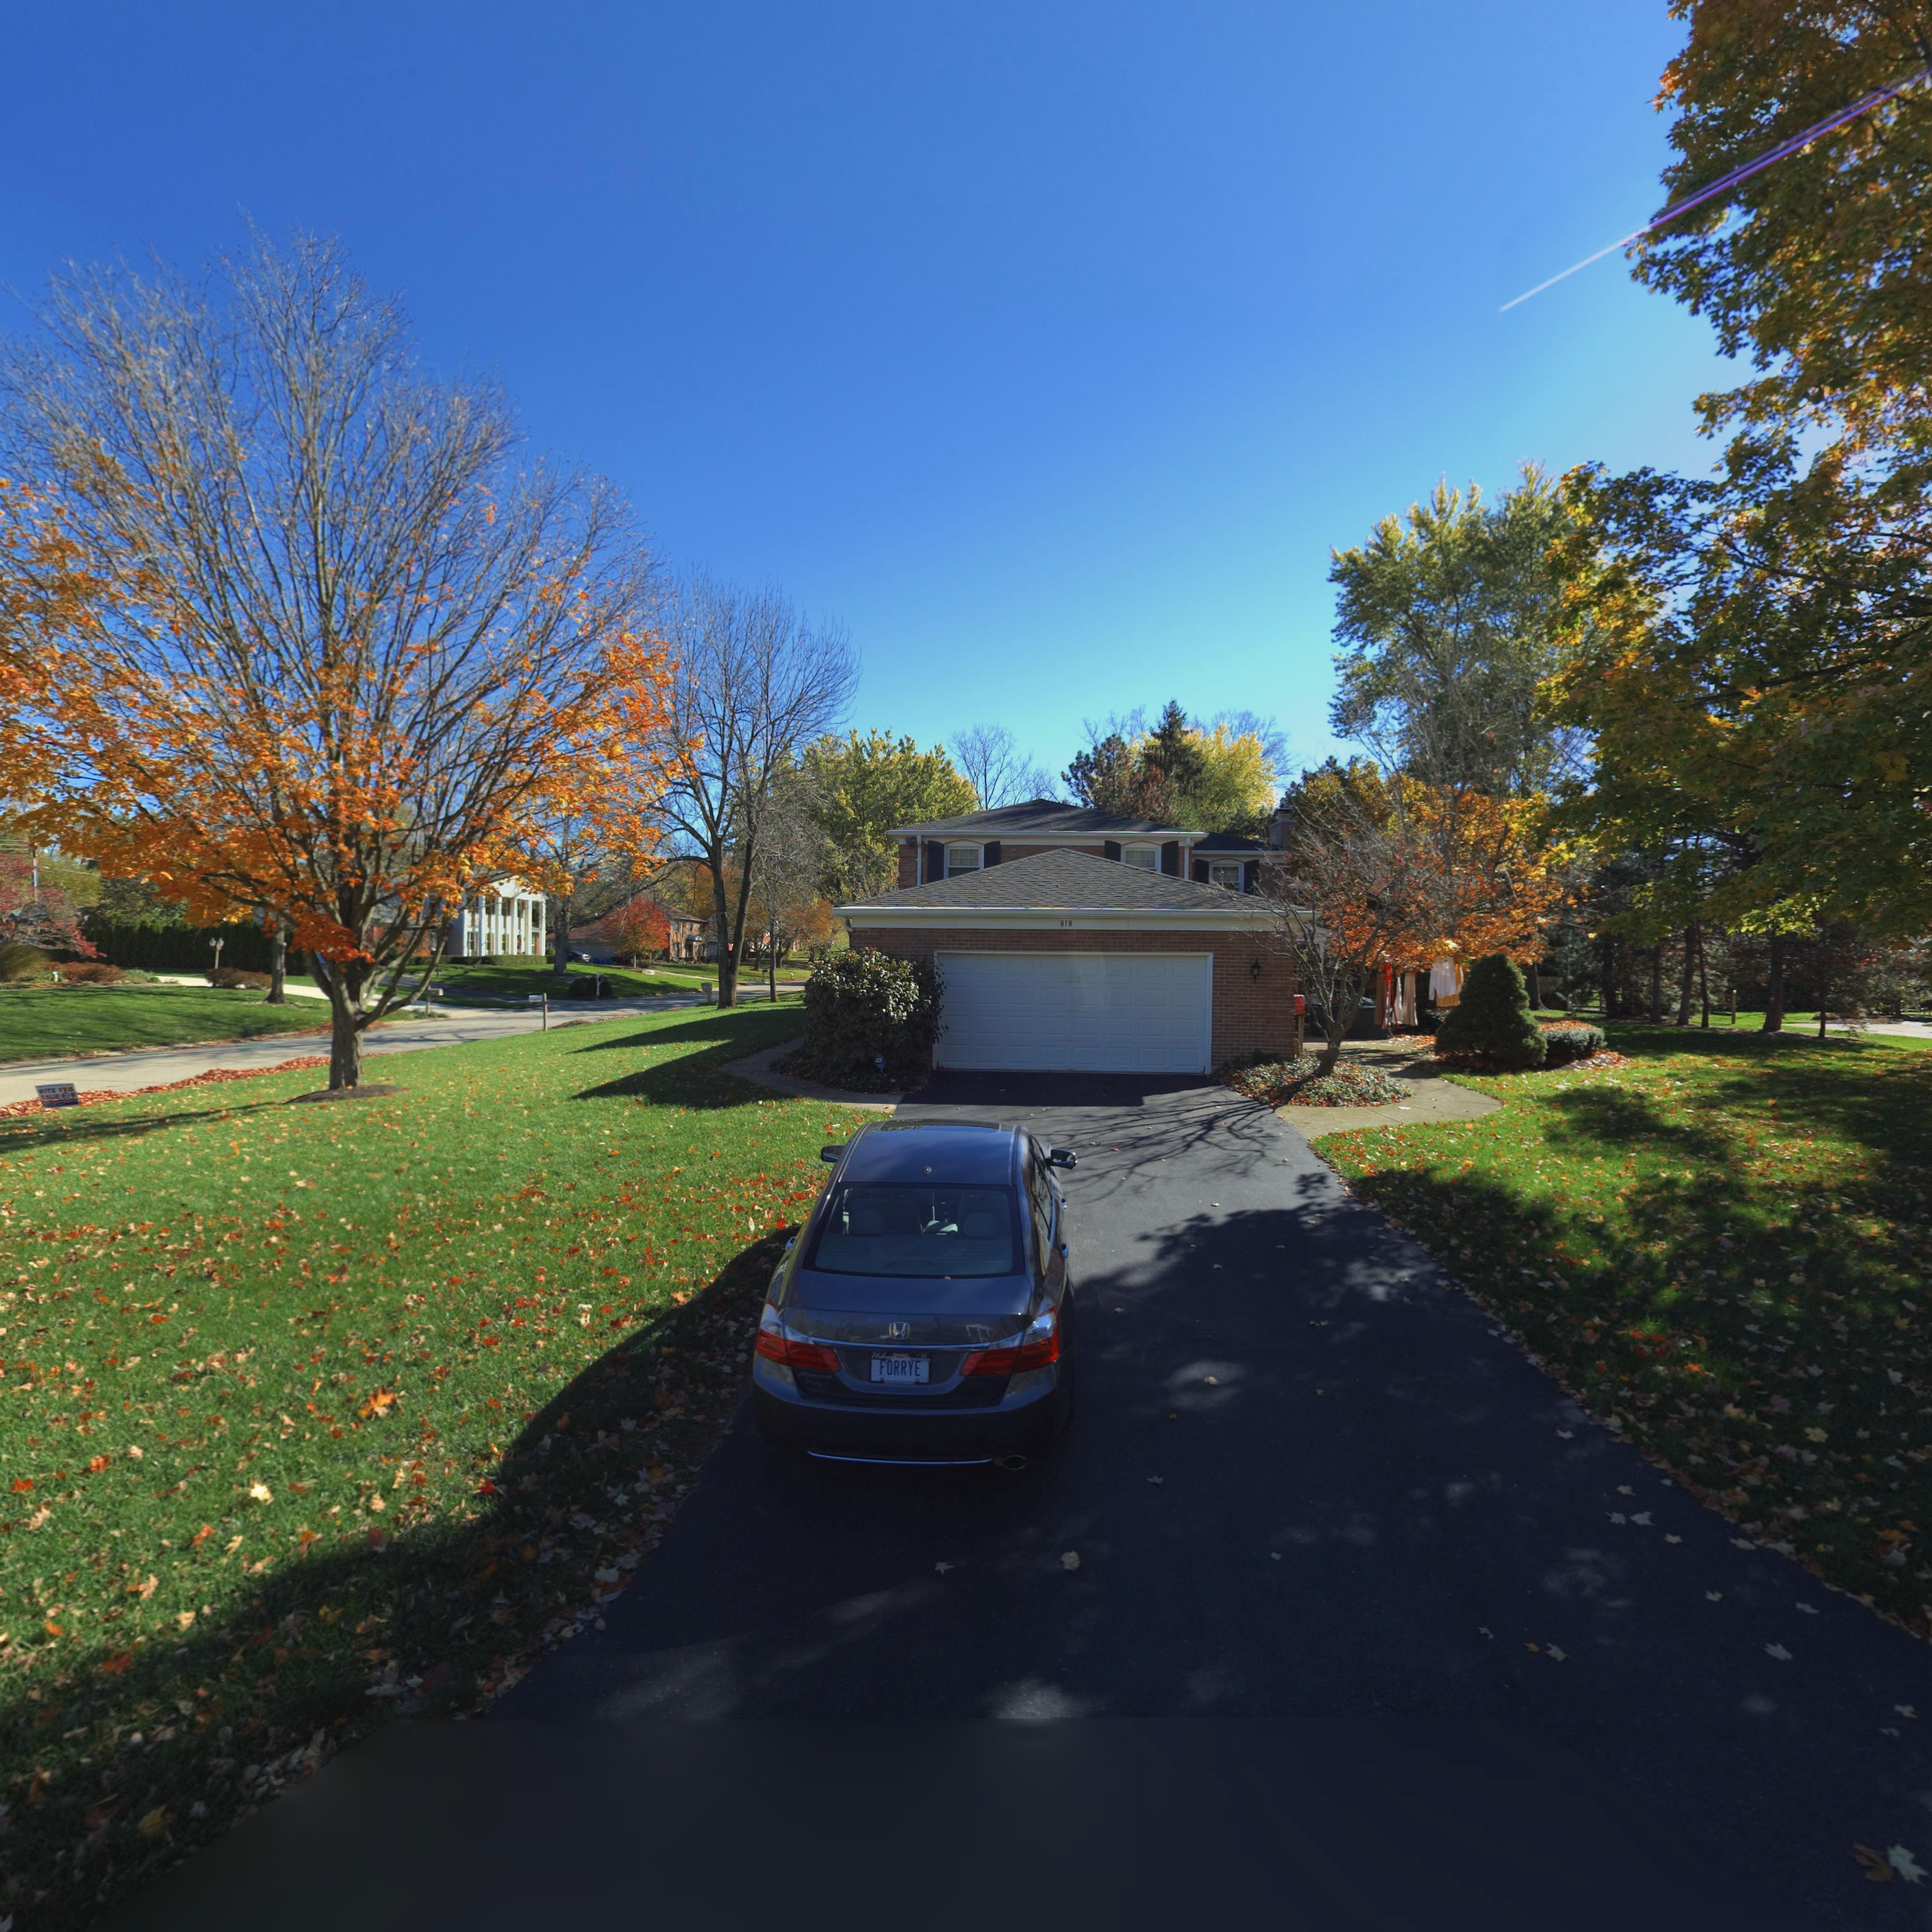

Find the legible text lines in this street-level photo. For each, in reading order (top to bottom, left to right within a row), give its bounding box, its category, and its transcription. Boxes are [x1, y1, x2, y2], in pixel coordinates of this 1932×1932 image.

[1059, 919, 1073, 927] StreetNumber: 818